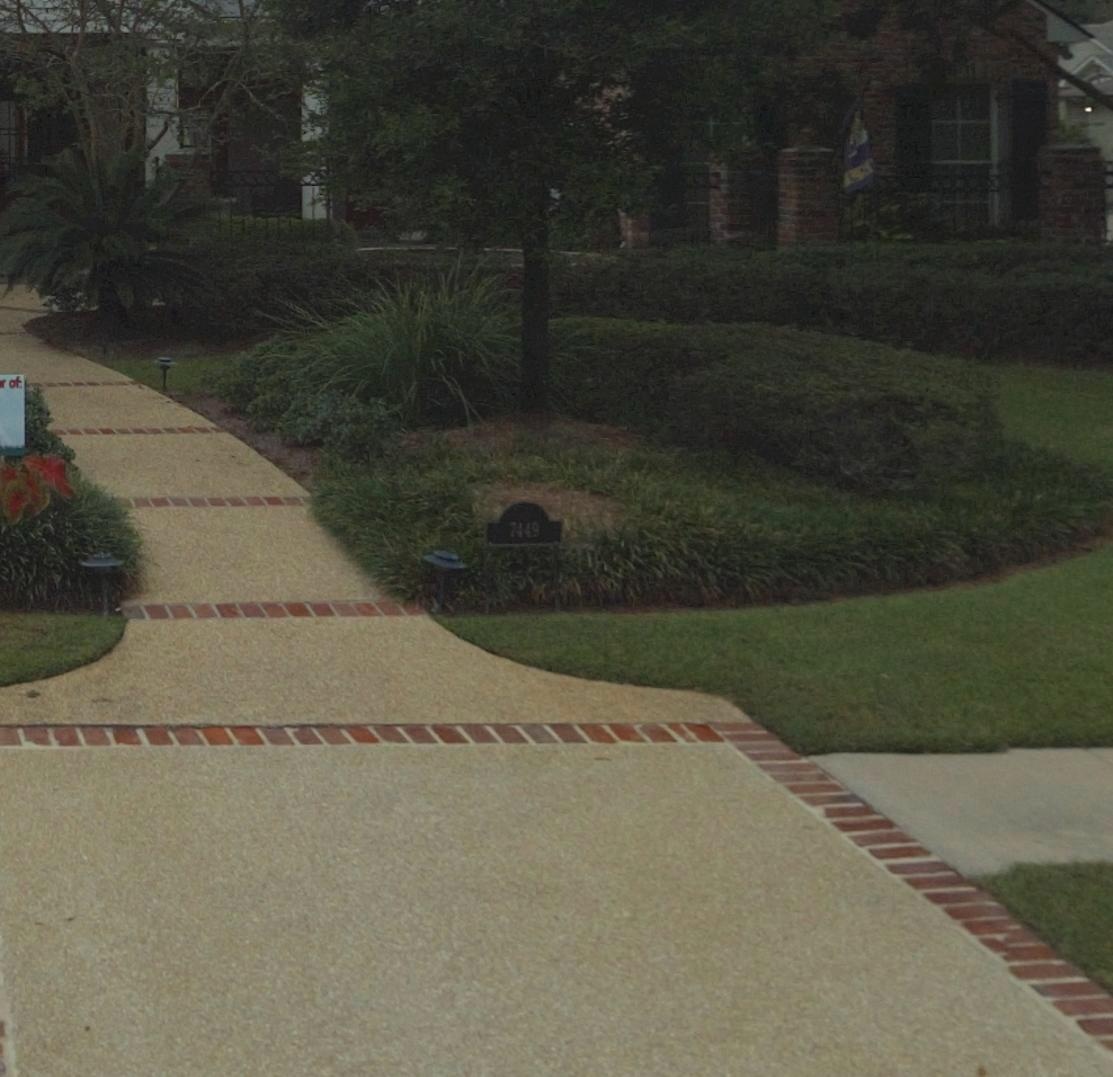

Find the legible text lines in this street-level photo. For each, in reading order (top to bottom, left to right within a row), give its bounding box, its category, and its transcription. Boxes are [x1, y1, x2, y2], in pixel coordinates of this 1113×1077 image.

[507, 521, 541, 540] StreetNumber: 7449